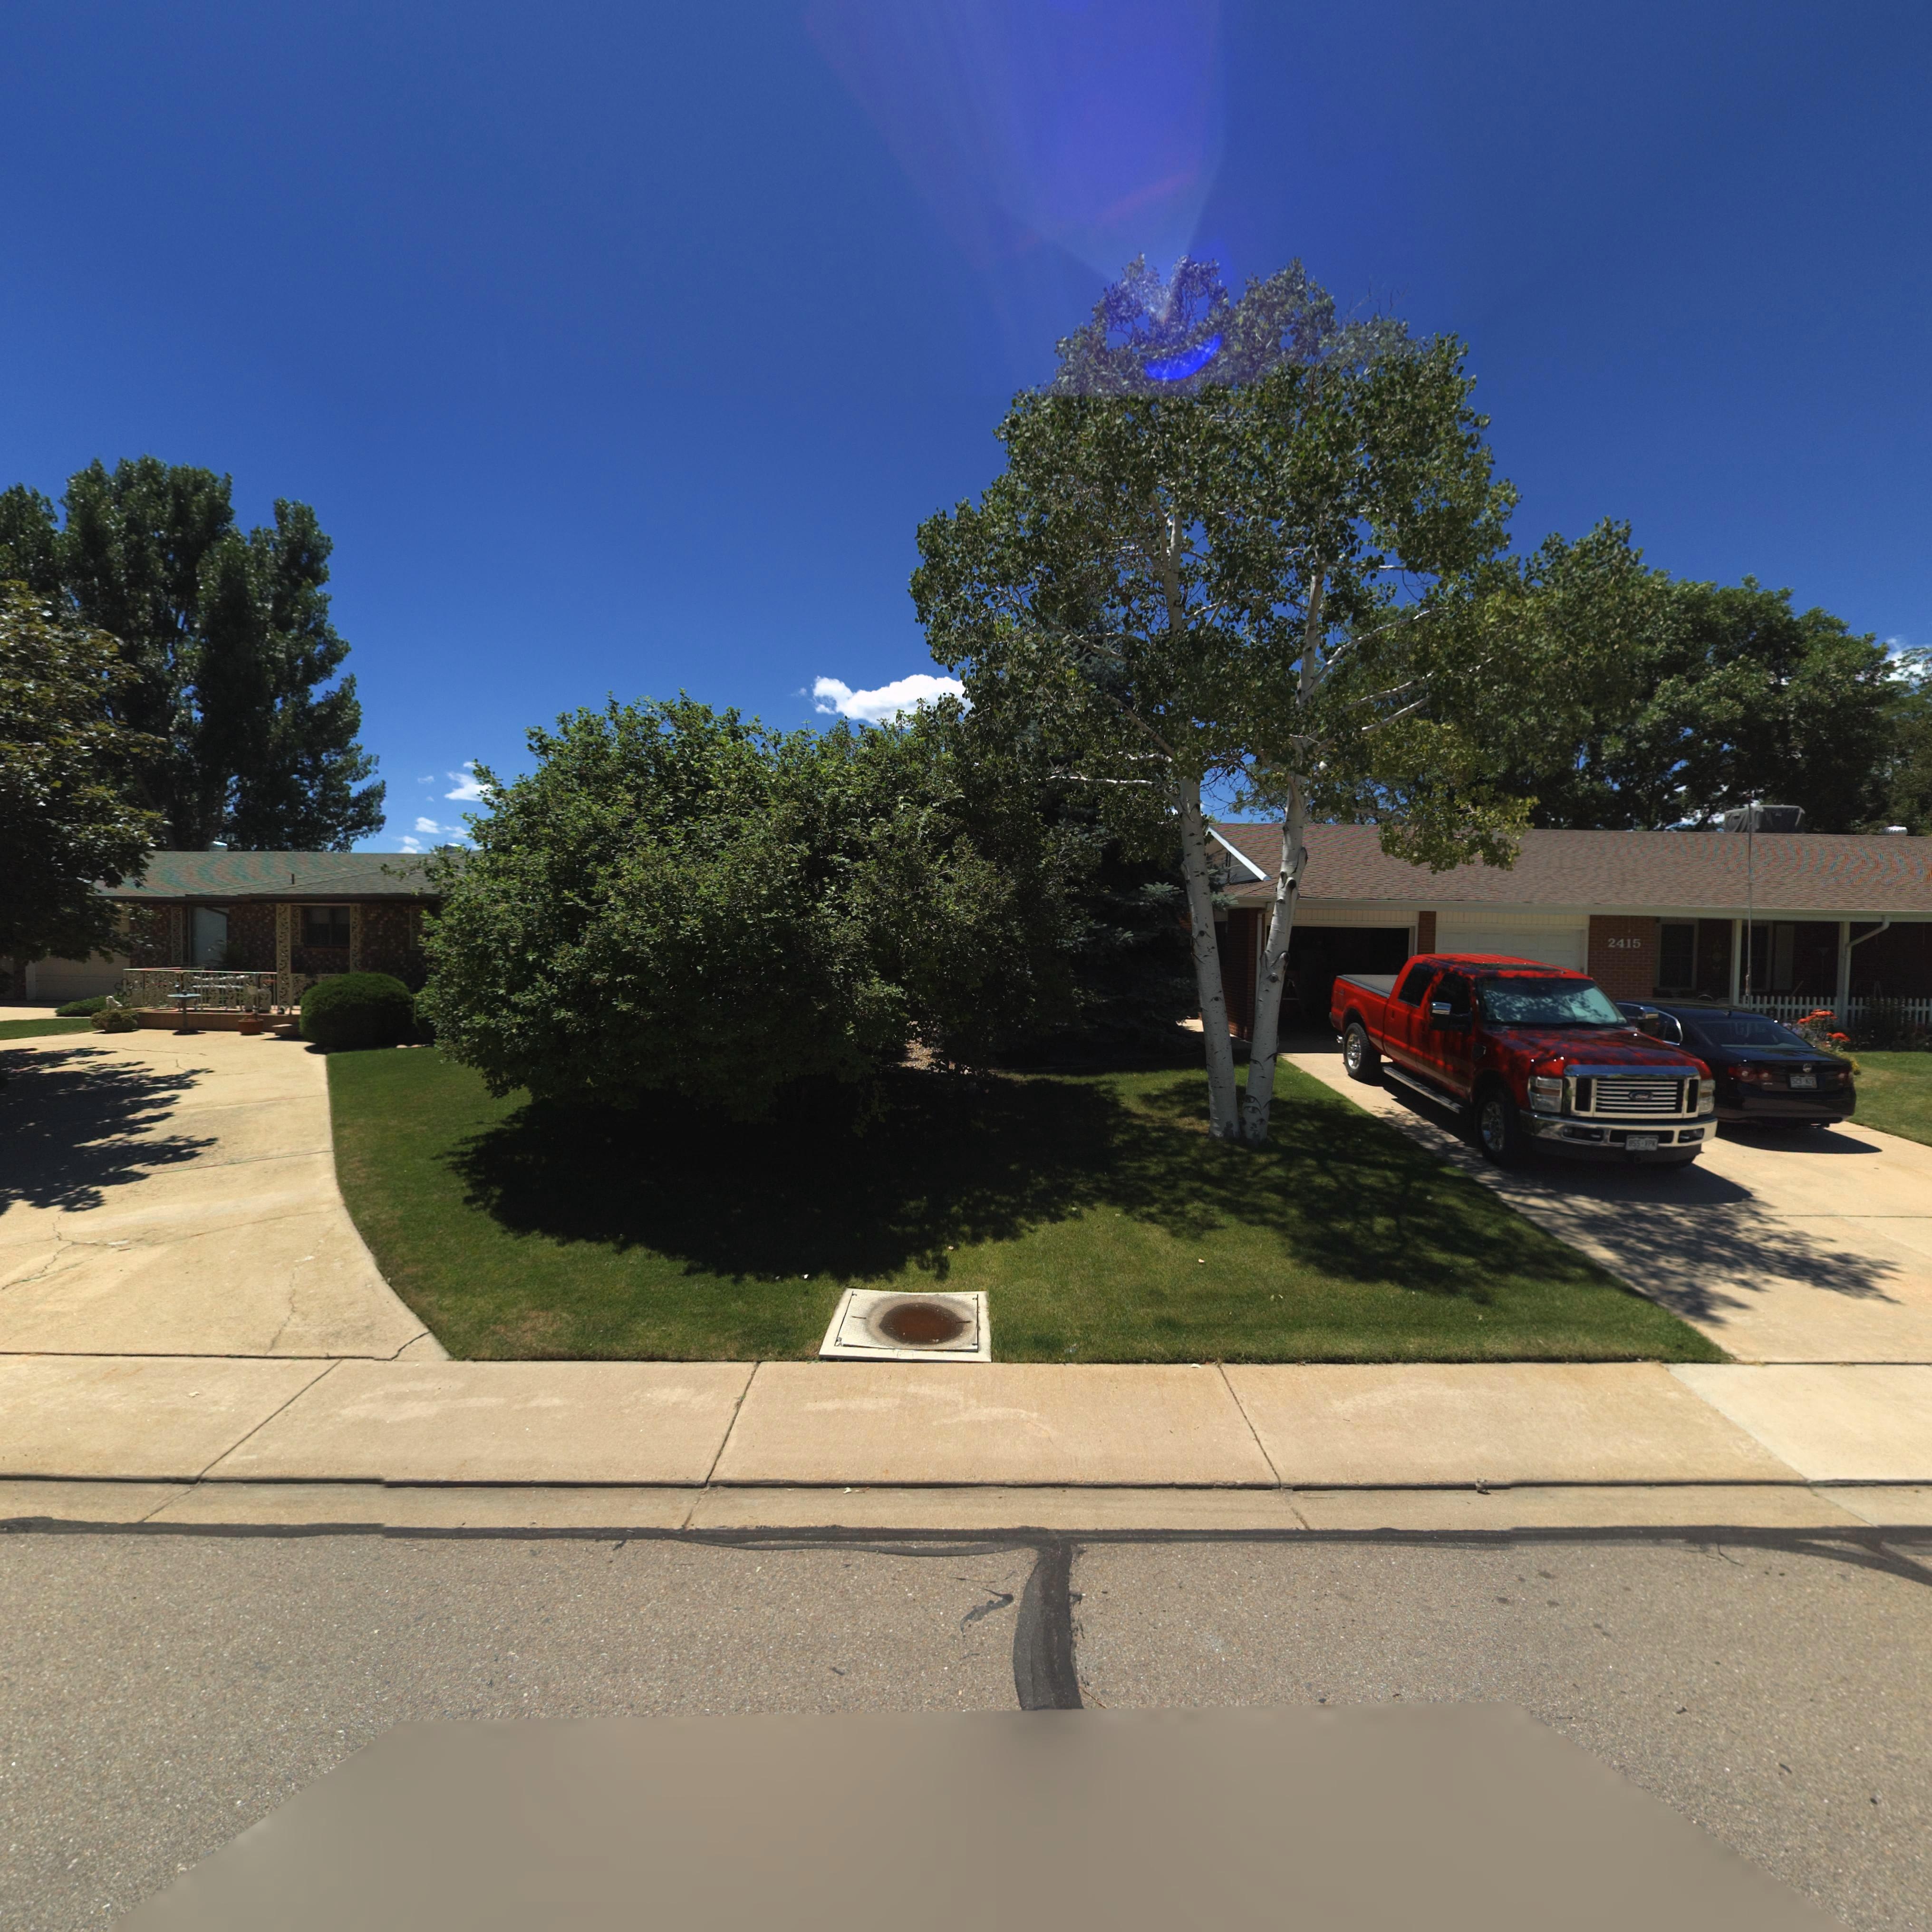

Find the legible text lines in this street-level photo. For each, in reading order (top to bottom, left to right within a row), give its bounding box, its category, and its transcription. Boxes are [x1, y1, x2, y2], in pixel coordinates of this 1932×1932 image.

[1607, 937, 1641, 948] StreetNumber: 2415